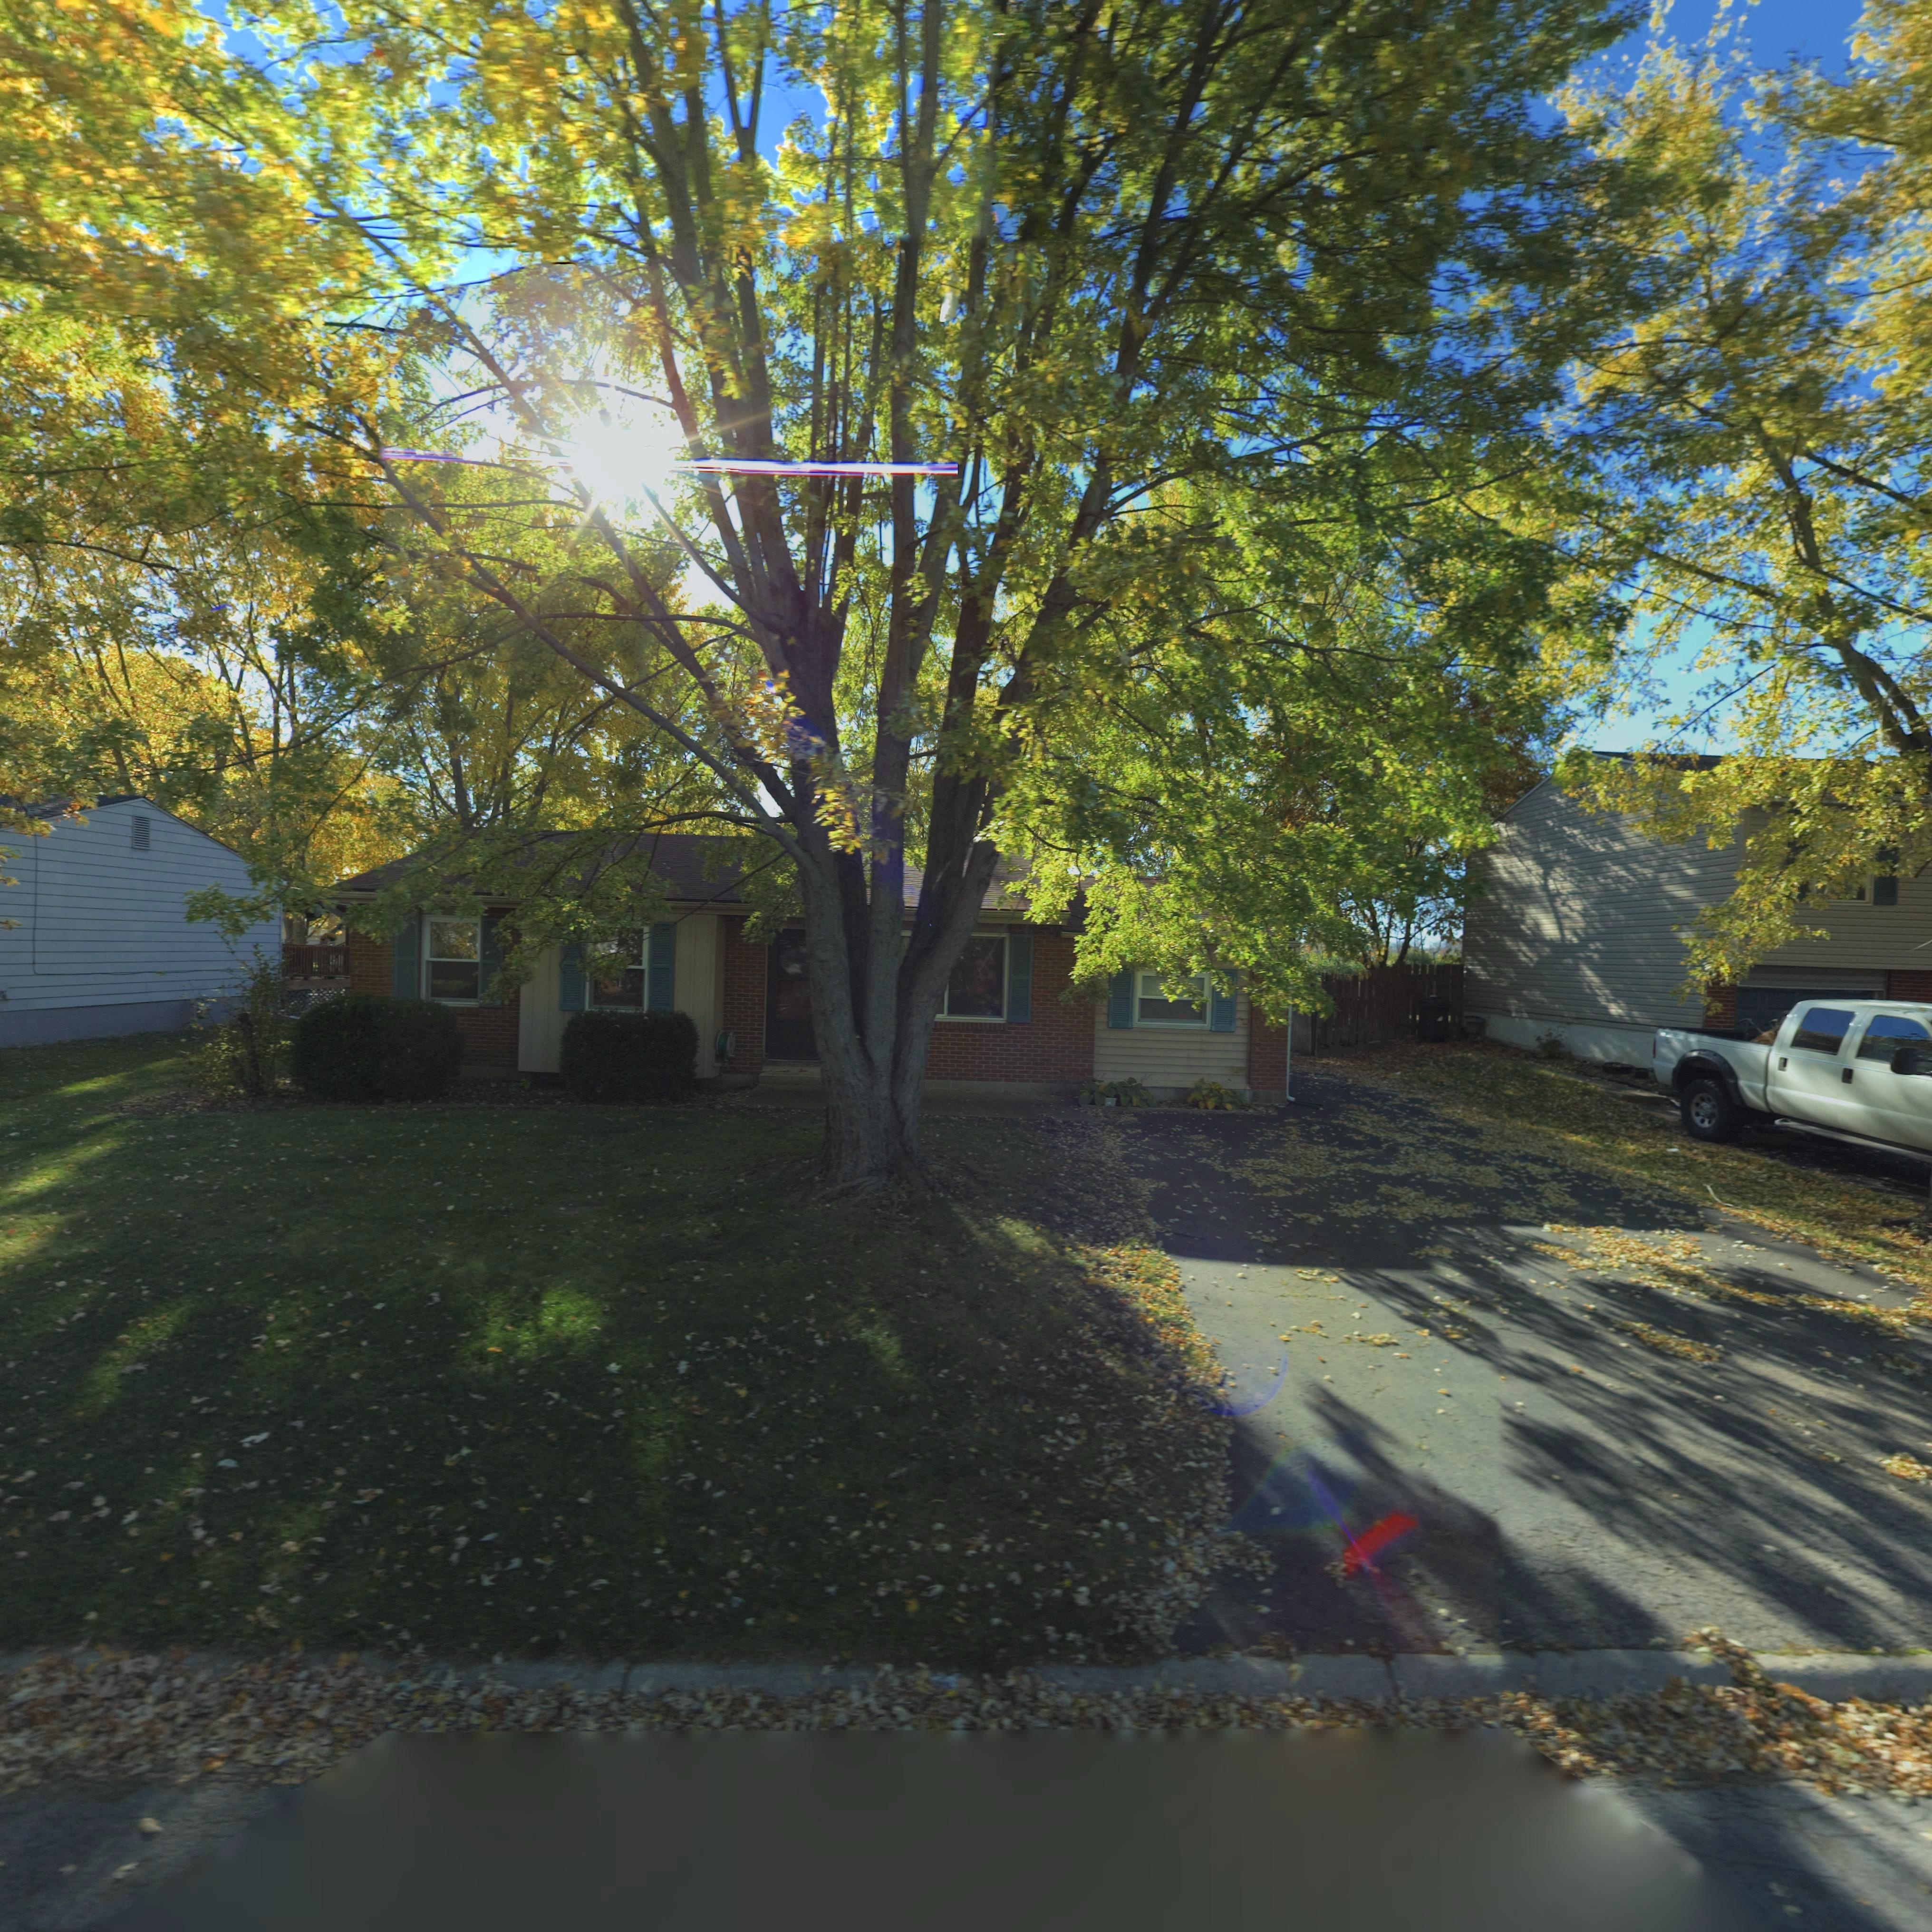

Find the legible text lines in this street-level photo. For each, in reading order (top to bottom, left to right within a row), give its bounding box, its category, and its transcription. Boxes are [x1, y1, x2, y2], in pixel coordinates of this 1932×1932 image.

[792, 917, 801, 925] StreetNumber: 12